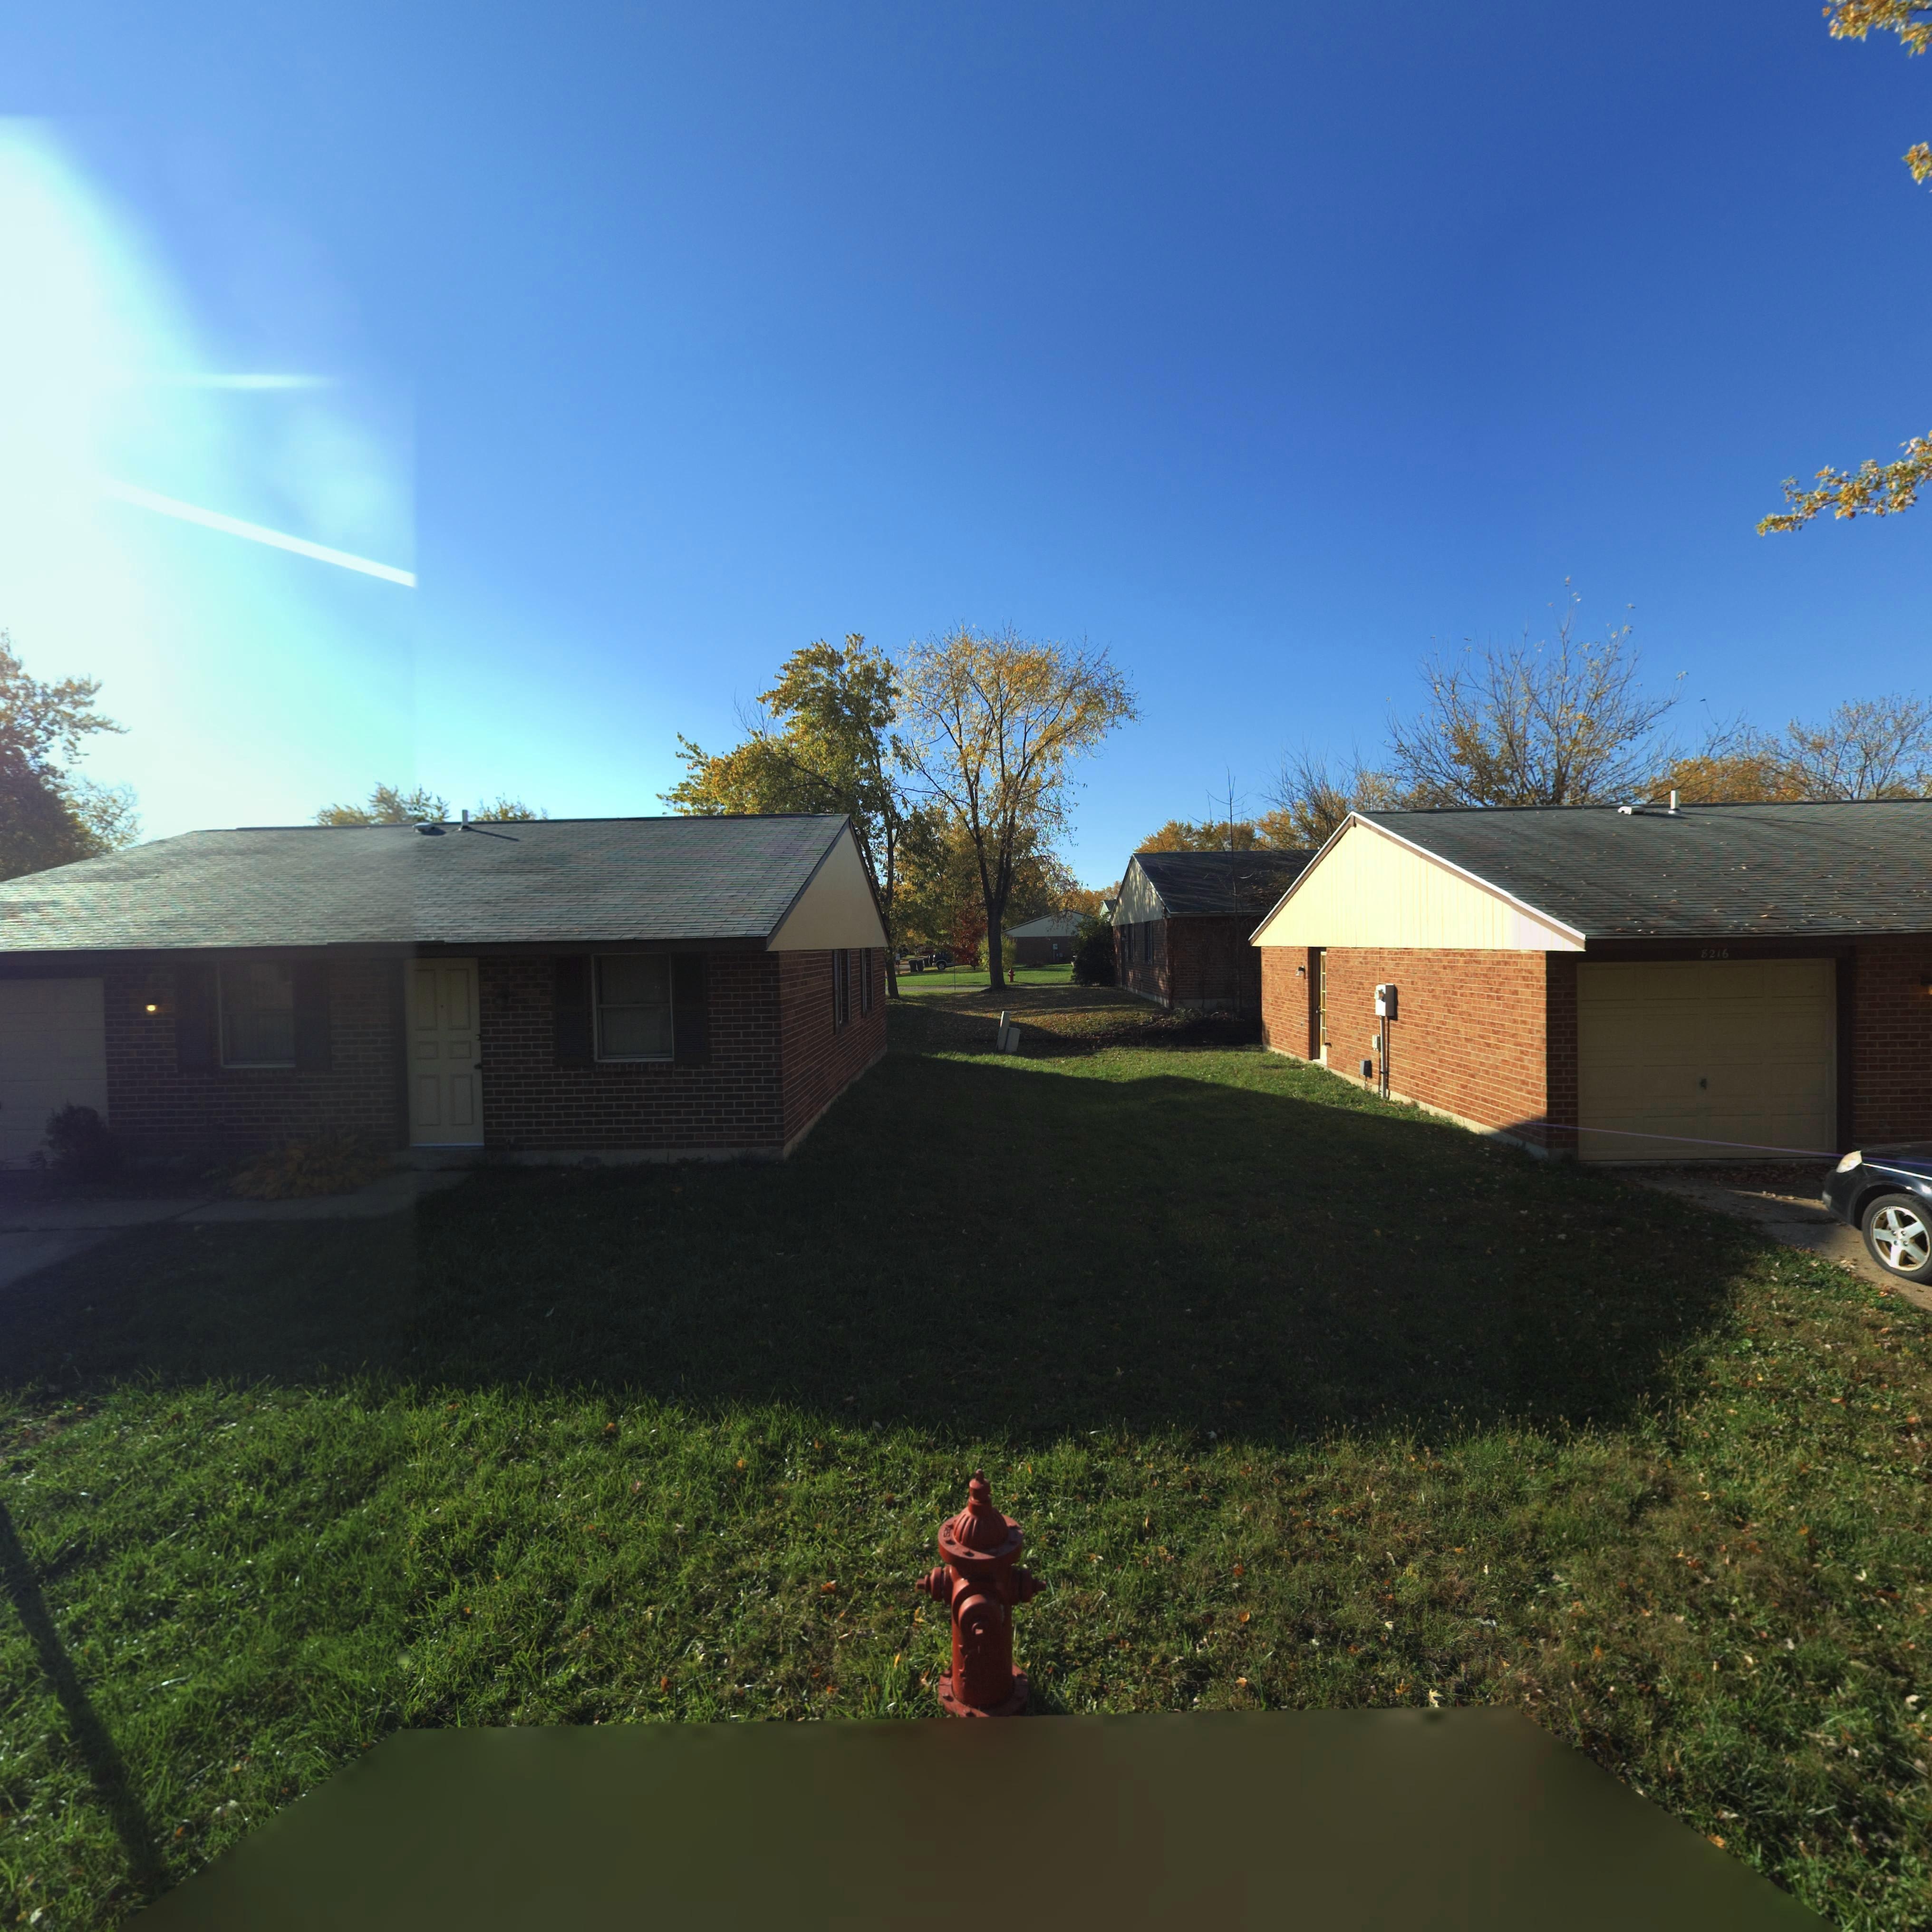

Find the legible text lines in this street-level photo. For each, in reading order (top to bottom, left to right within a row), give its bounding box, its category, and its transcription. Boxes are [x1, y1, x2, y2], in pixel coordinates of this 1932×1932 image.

[1700, 947, 1729, 959] StreetNumber: 8216